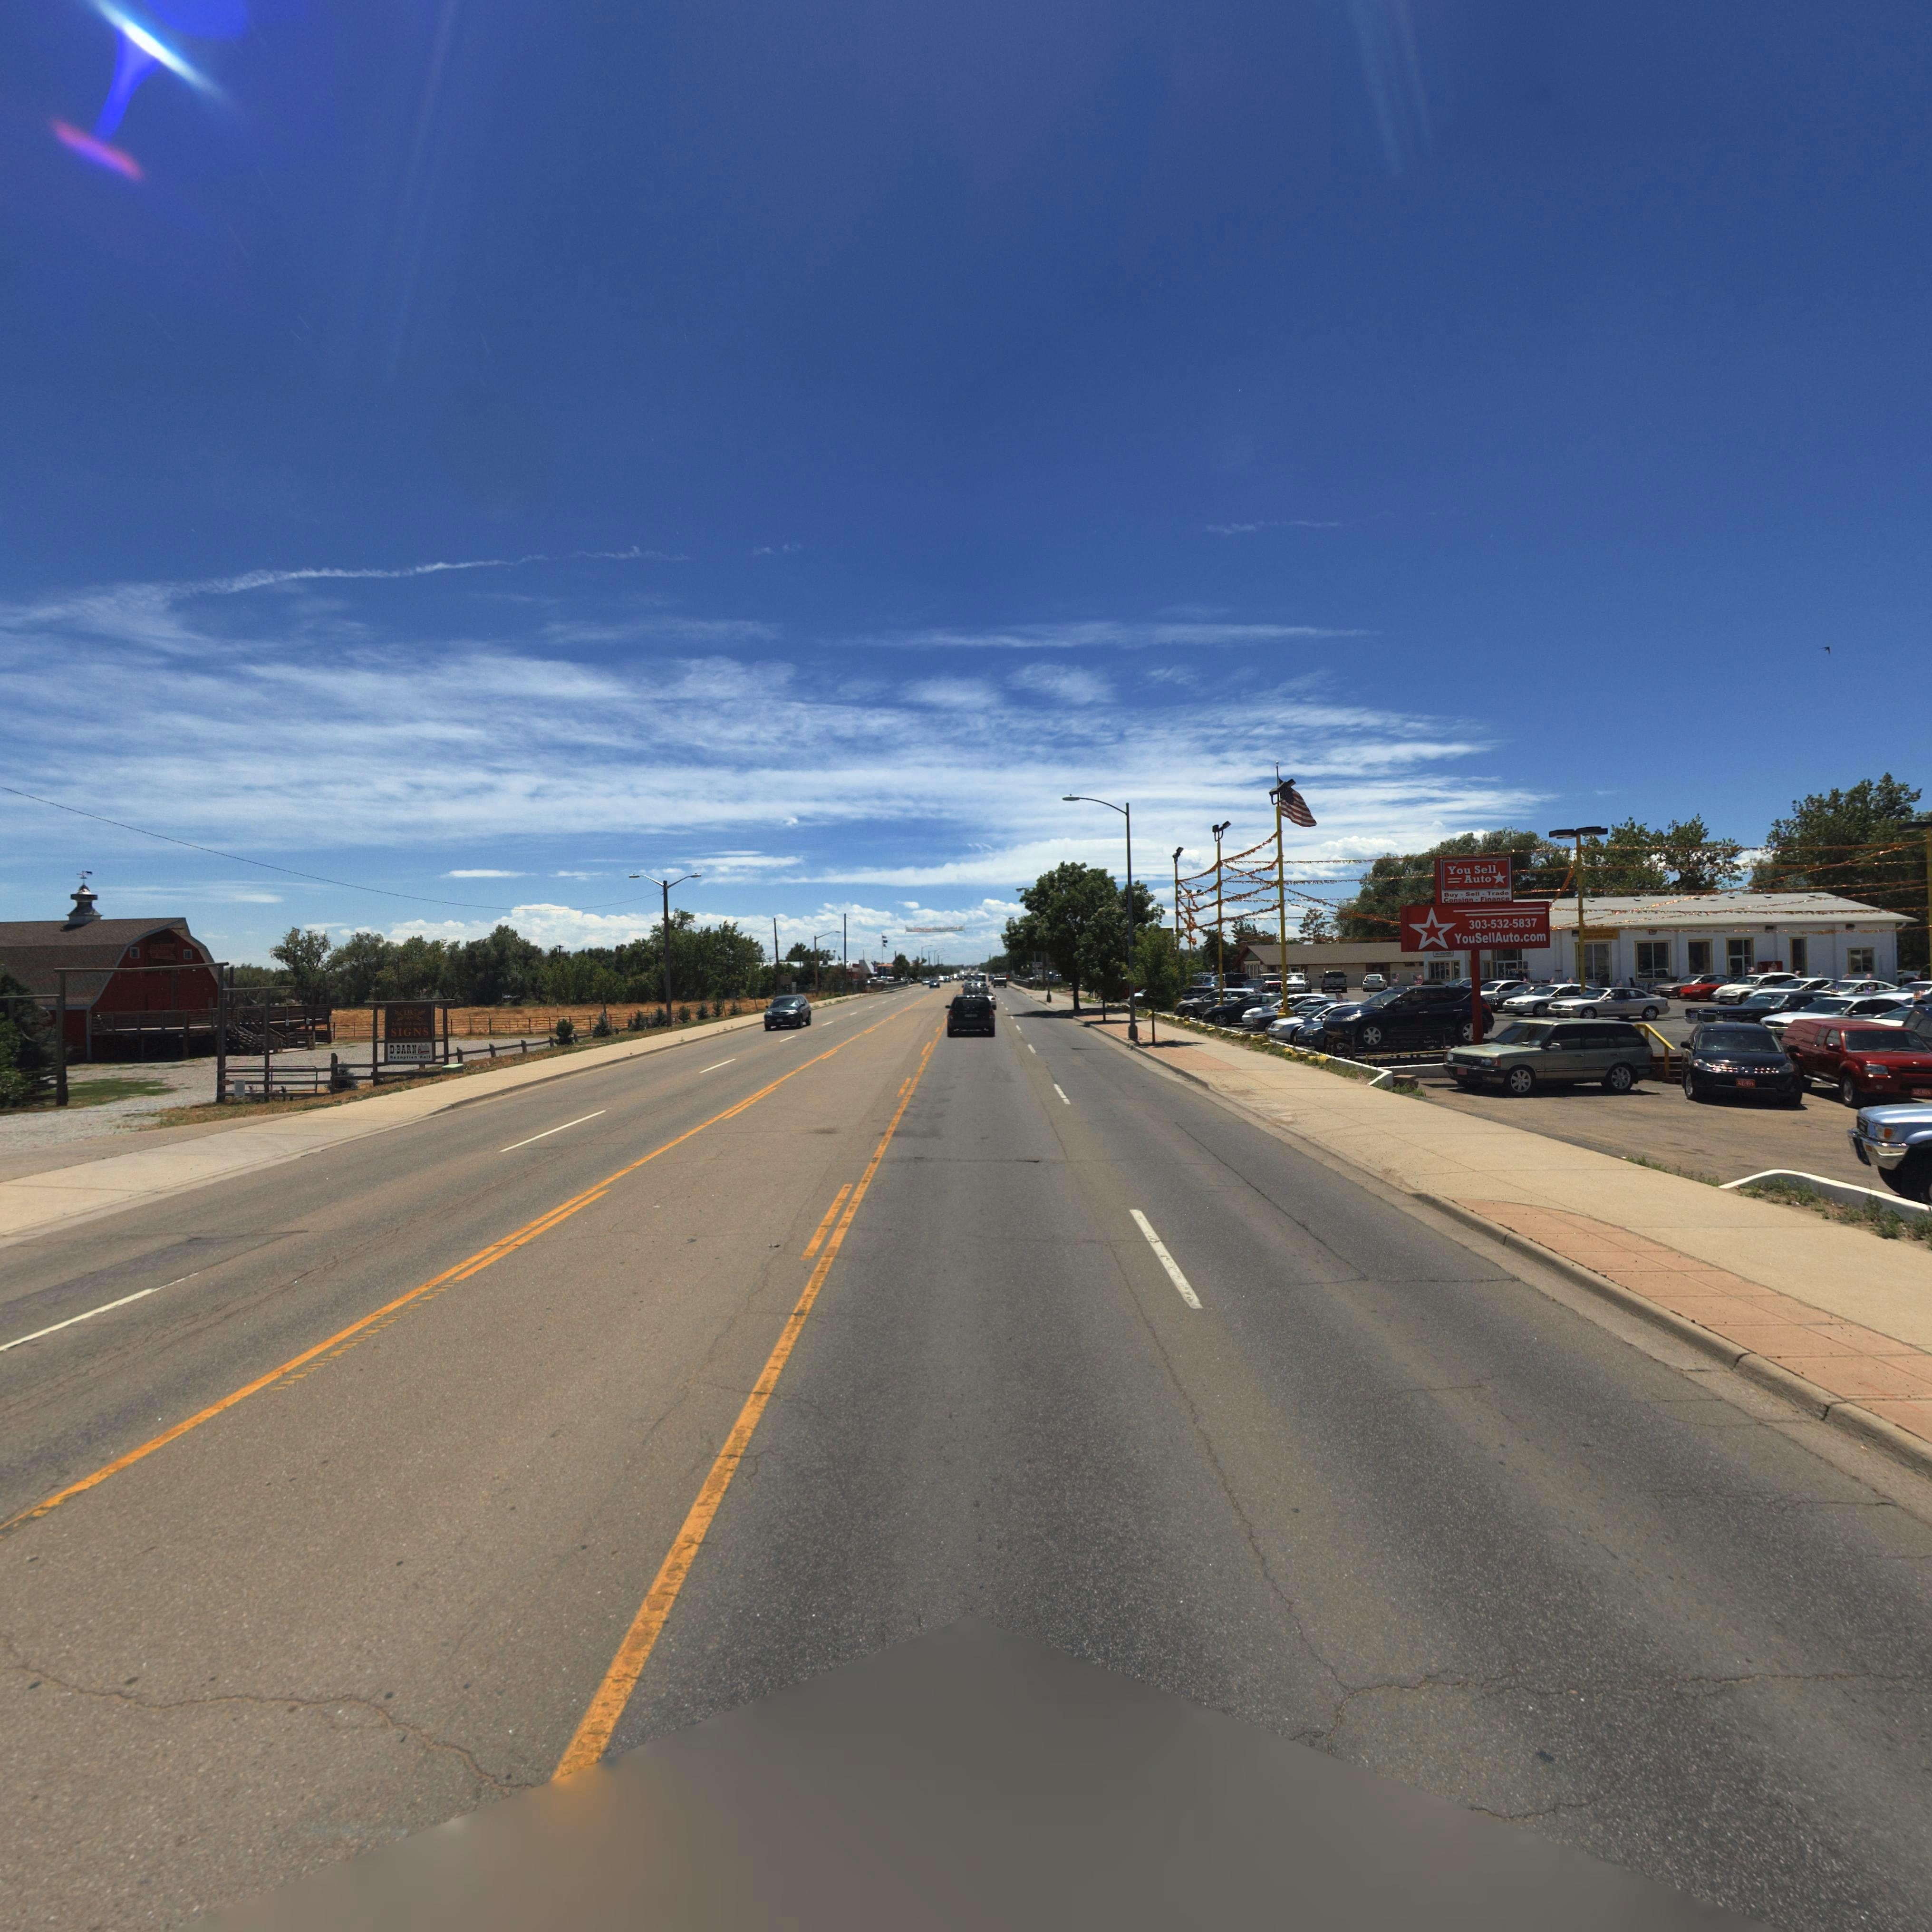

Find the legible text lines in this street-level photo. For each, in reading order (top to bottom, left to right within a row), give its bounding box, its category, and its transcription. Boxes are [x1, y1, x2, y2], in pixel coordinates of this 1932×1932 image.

[1446, 864, 1497, 875] BusinessName: You Sell
[1463, 874, 1492, 883] BusinessName: Auto
[389, 1044, 417, 1054] BusinessName: D-BARN